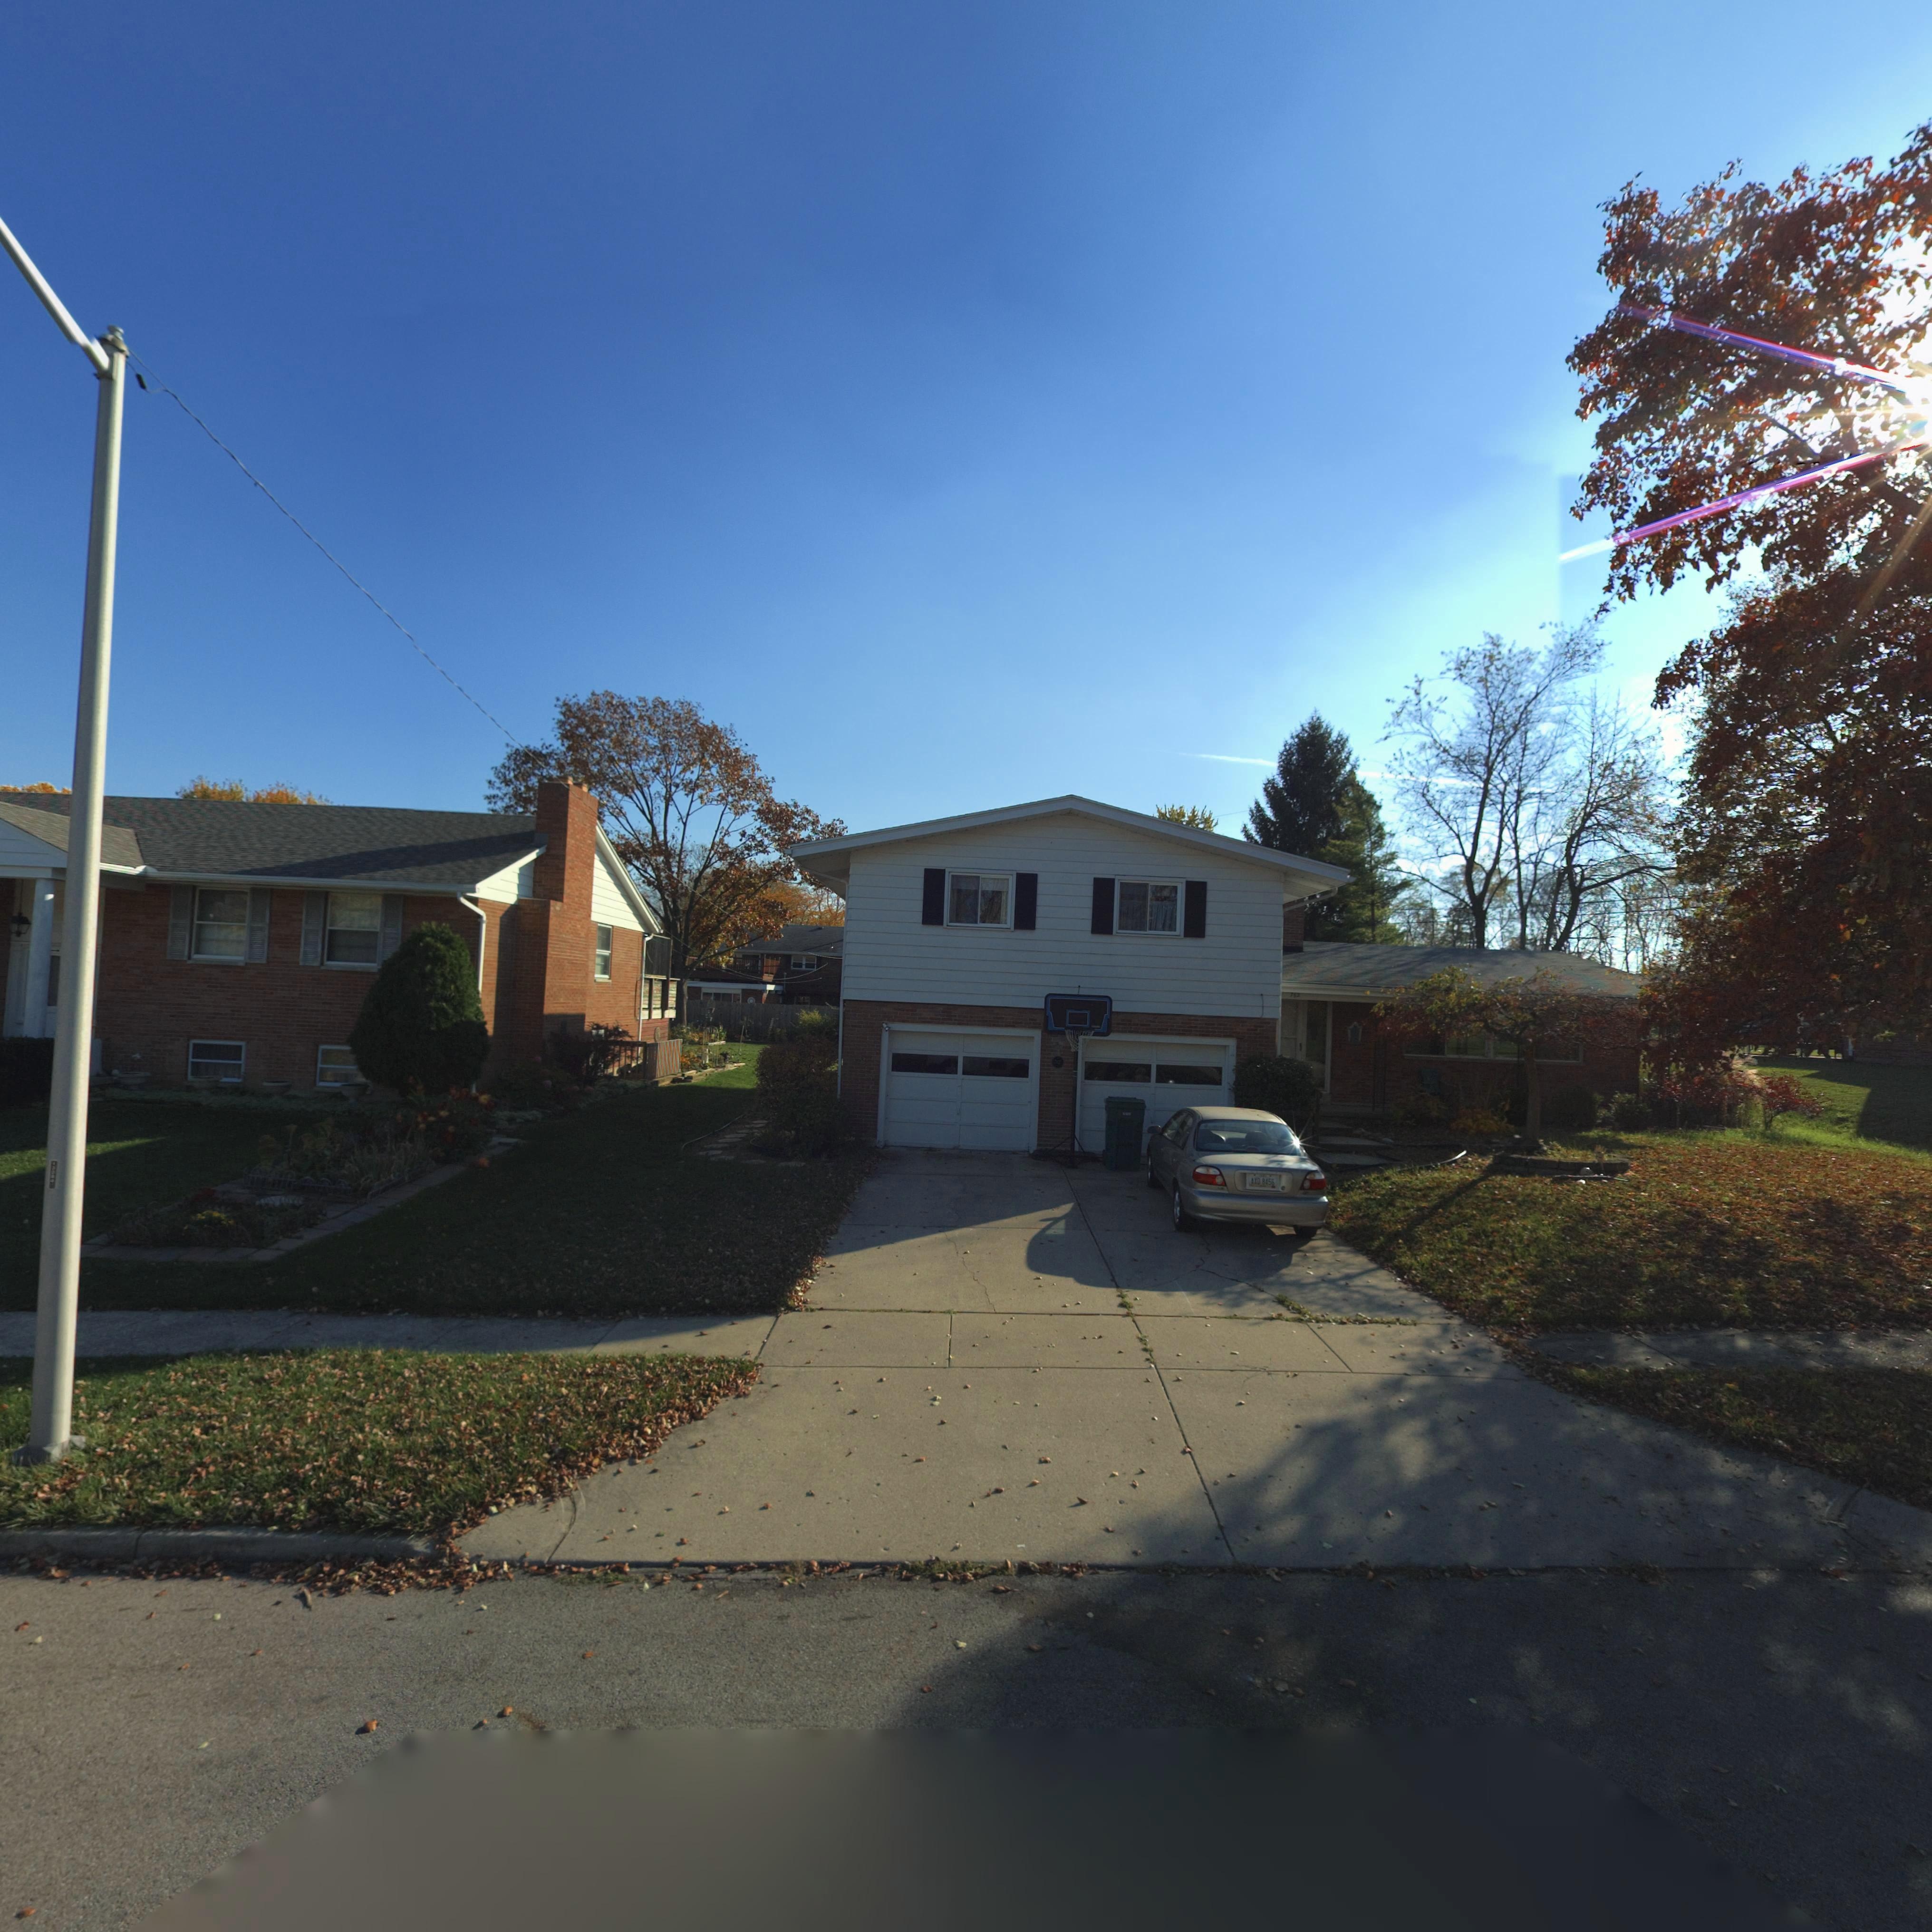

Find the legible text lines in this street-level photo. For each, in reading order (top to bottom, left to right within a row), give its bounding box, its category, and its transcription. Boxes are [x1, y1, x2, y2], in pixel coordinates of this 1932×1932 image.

[1290, 992, 1301, 997] StreetNumber: 762